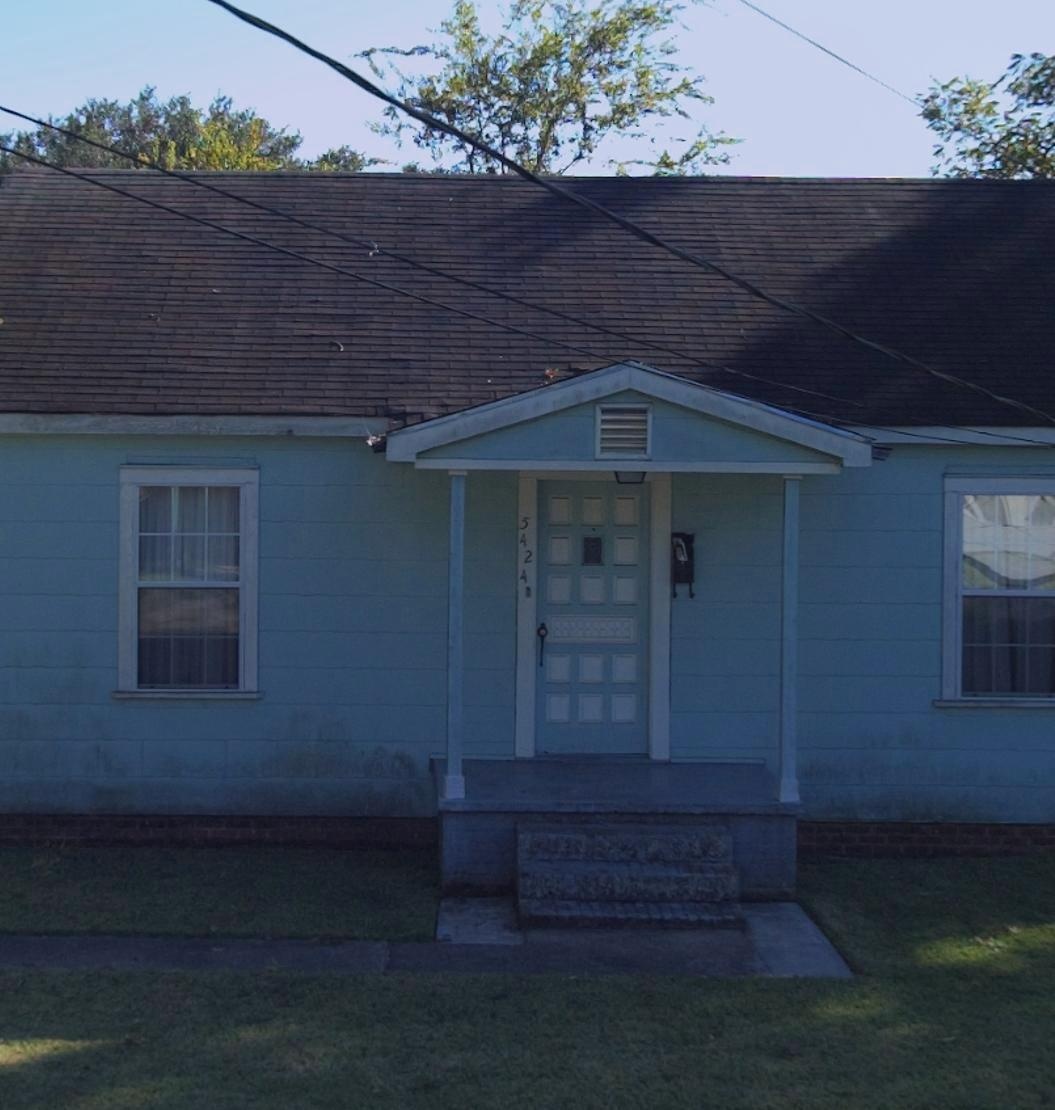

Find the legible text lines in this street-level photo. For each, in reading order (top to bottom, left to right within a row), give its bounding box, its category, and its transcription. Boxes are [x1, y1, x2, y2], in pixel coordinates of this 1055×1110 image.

[519, 516, 534, 585] StreetNumber: 5424